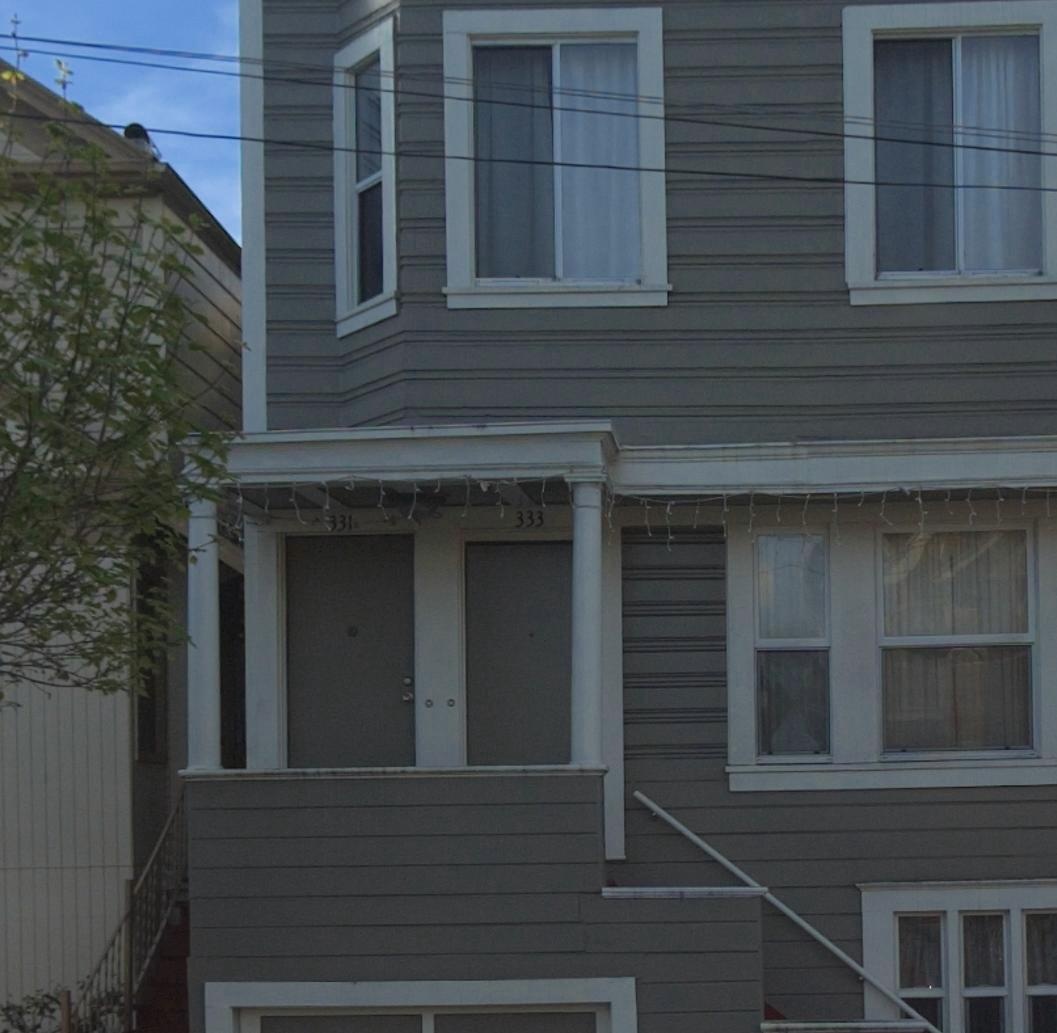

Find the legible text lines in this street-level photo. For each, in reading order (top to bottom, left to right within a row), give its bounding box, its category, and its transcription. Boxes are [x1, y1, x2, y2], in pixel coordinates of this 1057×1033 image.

[326, 512, 355, 534] StreetNumber: 331
[513, 508, 546, 529] StreetNumber: 333